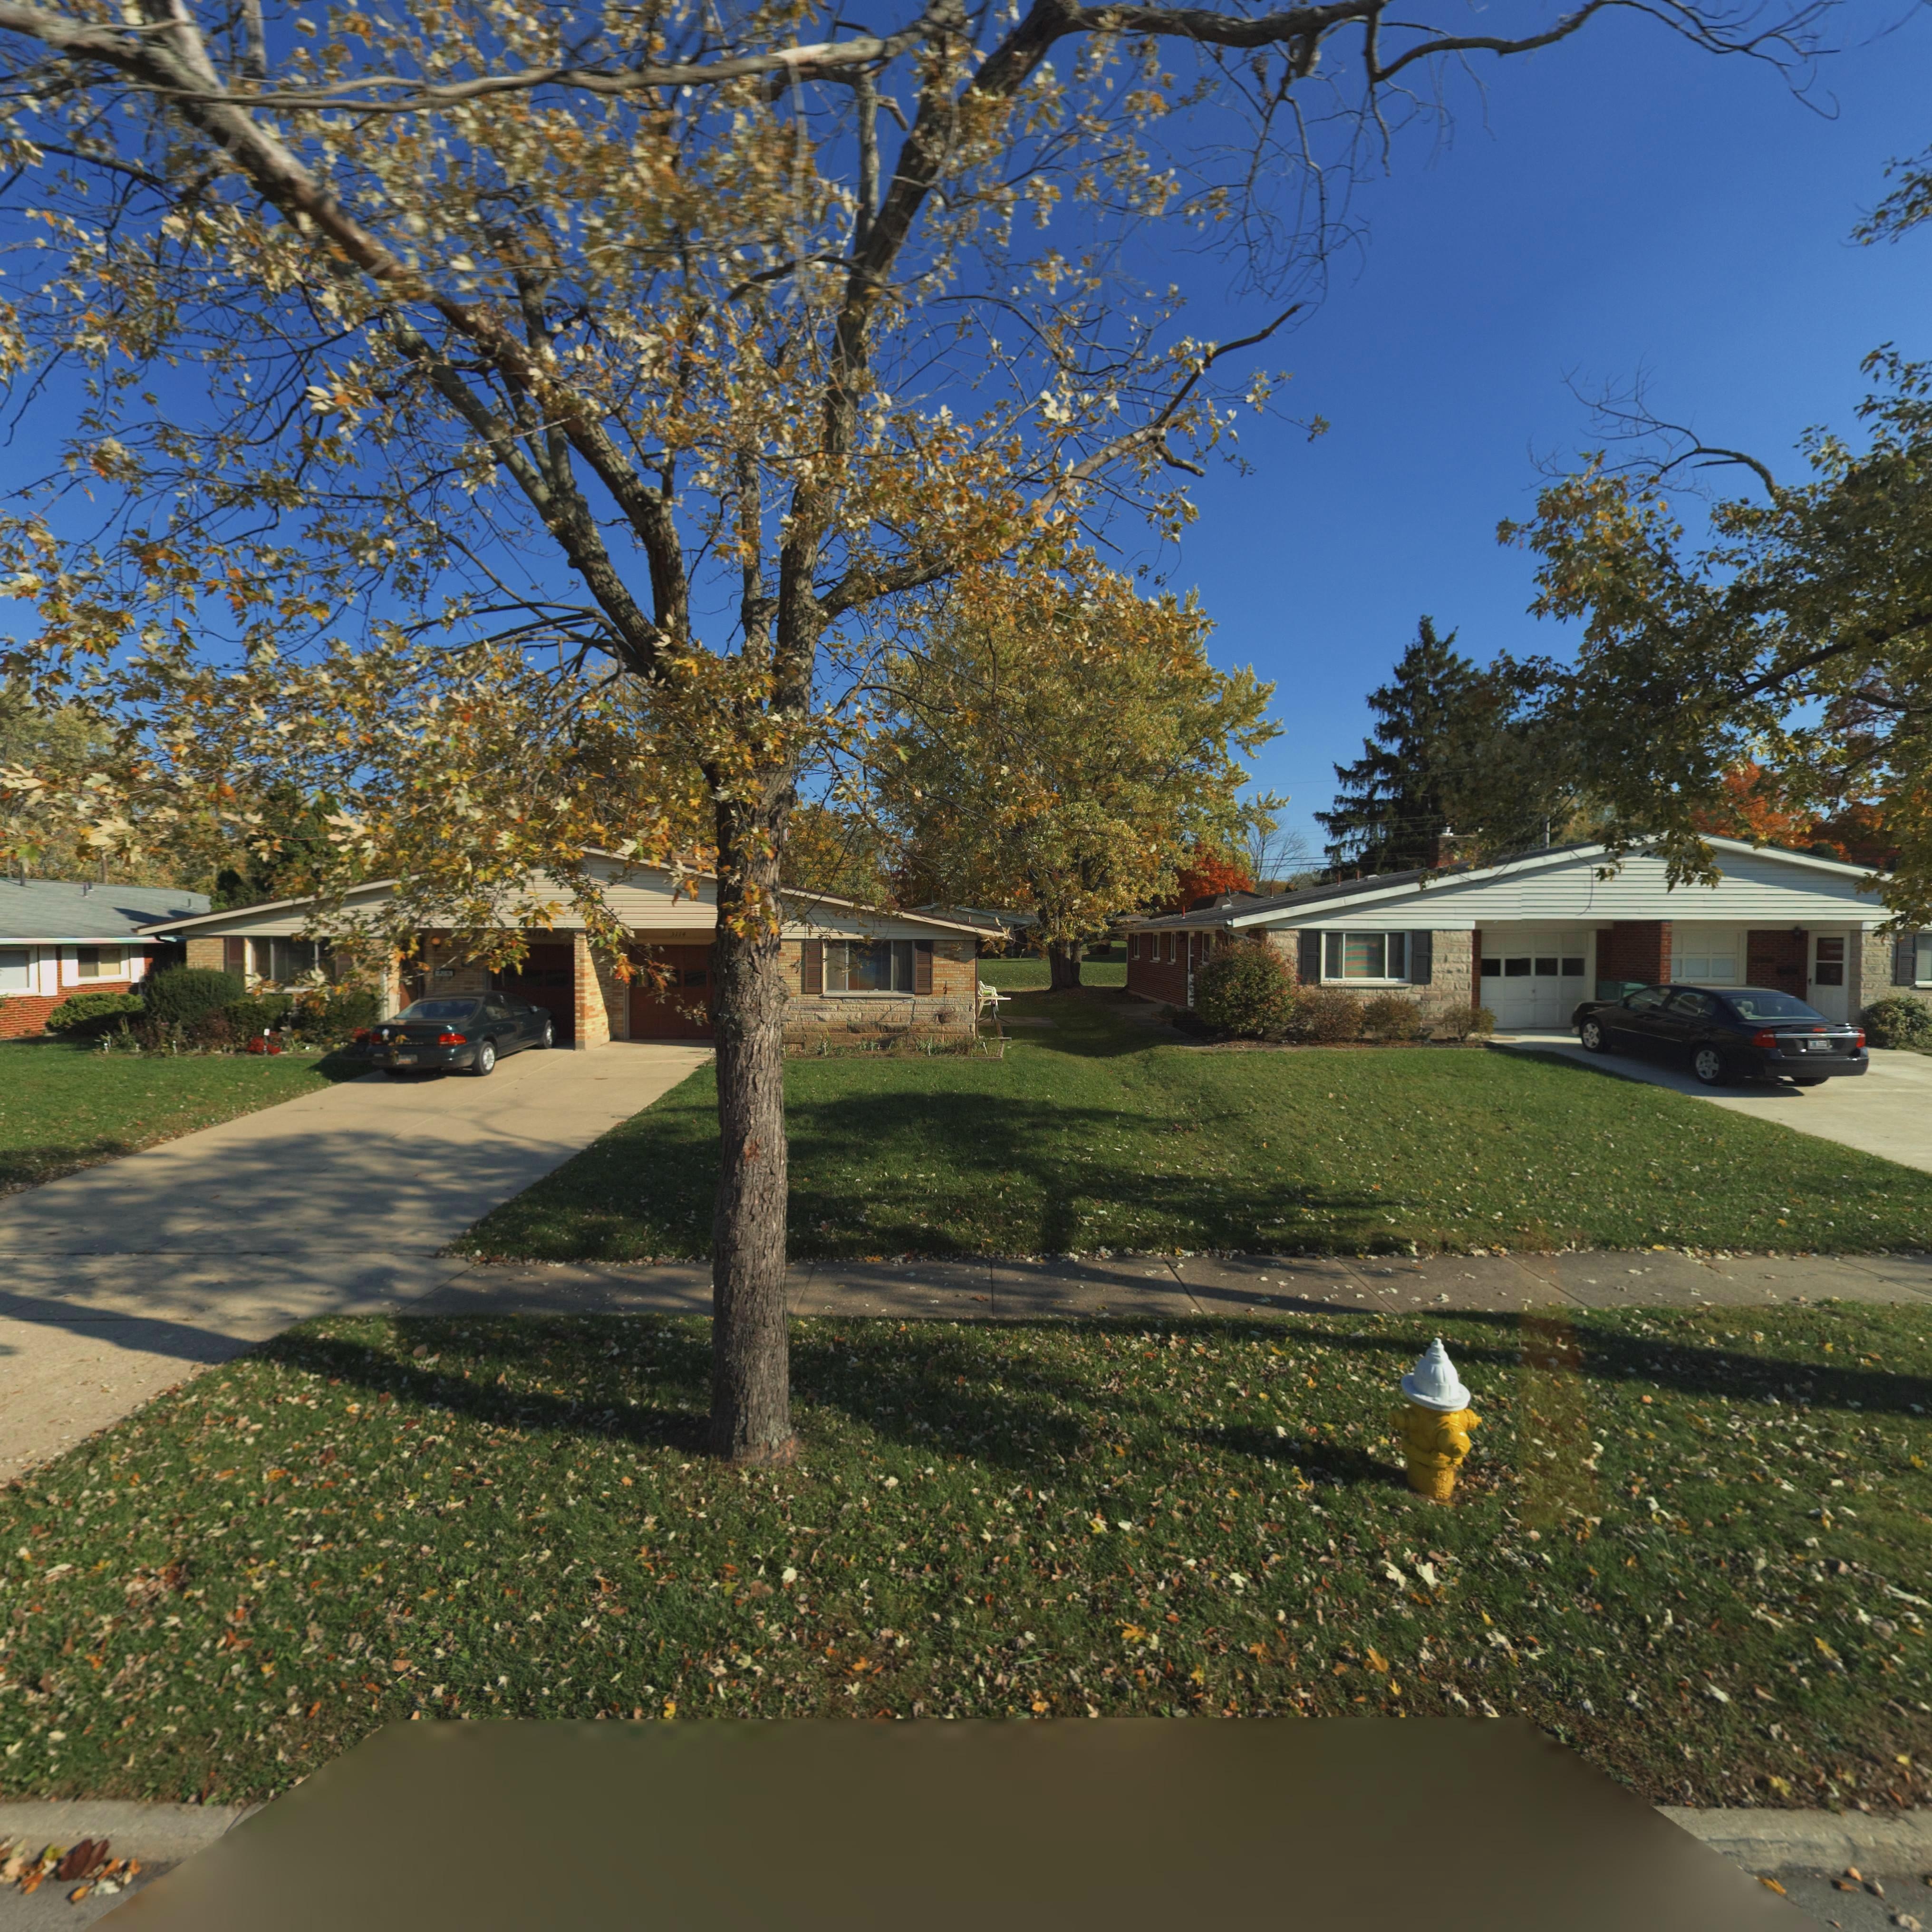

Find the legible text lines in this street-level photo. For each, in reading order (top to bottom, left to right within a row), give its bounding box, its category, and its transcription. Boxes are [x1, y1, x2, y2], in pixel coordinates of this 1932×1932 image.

[526, 928, 548, 937] StreetNumber: 3112
[670, 930, 686, 937] StreetNumber: 3114